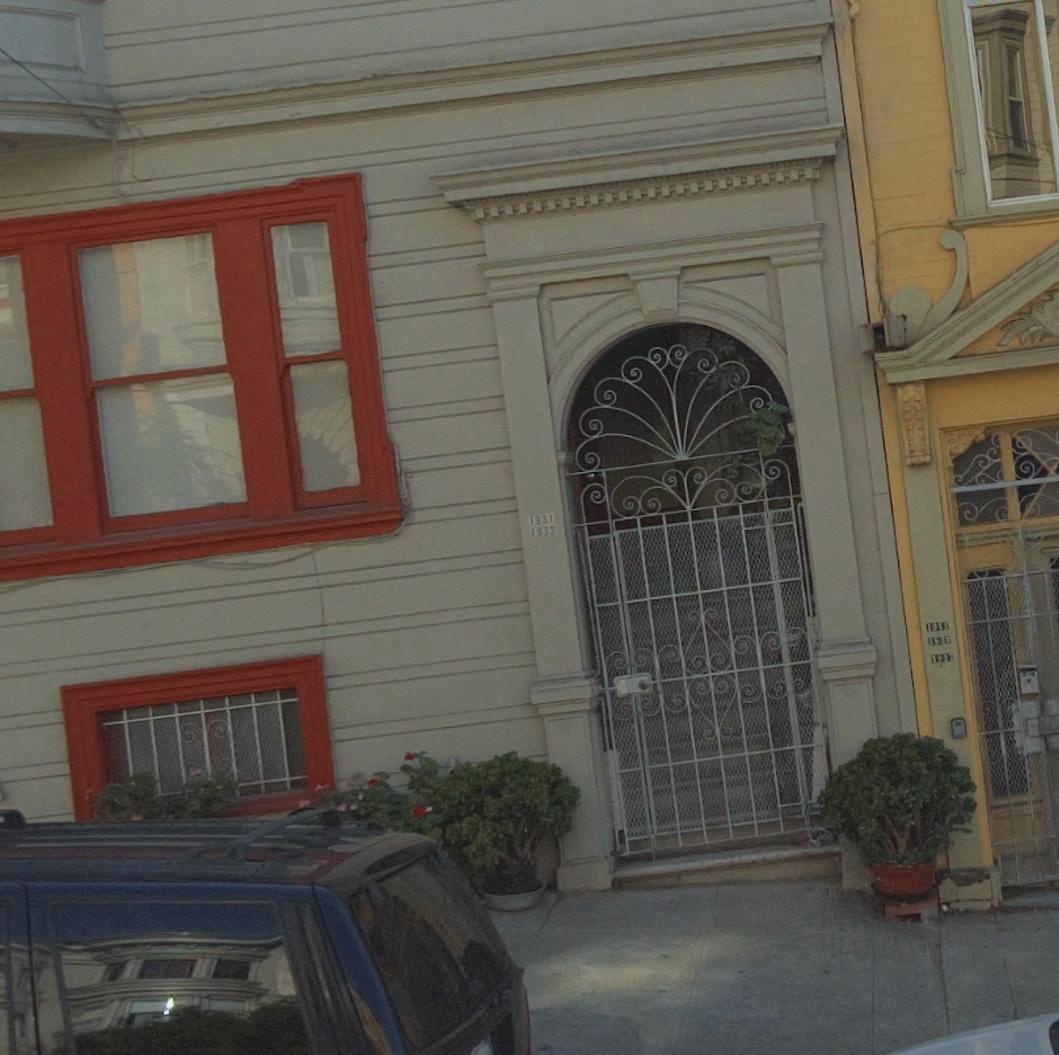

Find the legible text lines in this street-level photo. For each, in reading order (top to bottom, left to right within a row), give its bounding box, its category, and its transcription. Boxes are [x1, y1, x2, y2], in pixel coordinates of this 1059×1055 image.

[528, 512, 555, 526] StreetNumber: 1931
[529, 523, 557, 540] StreetNumber: 1933